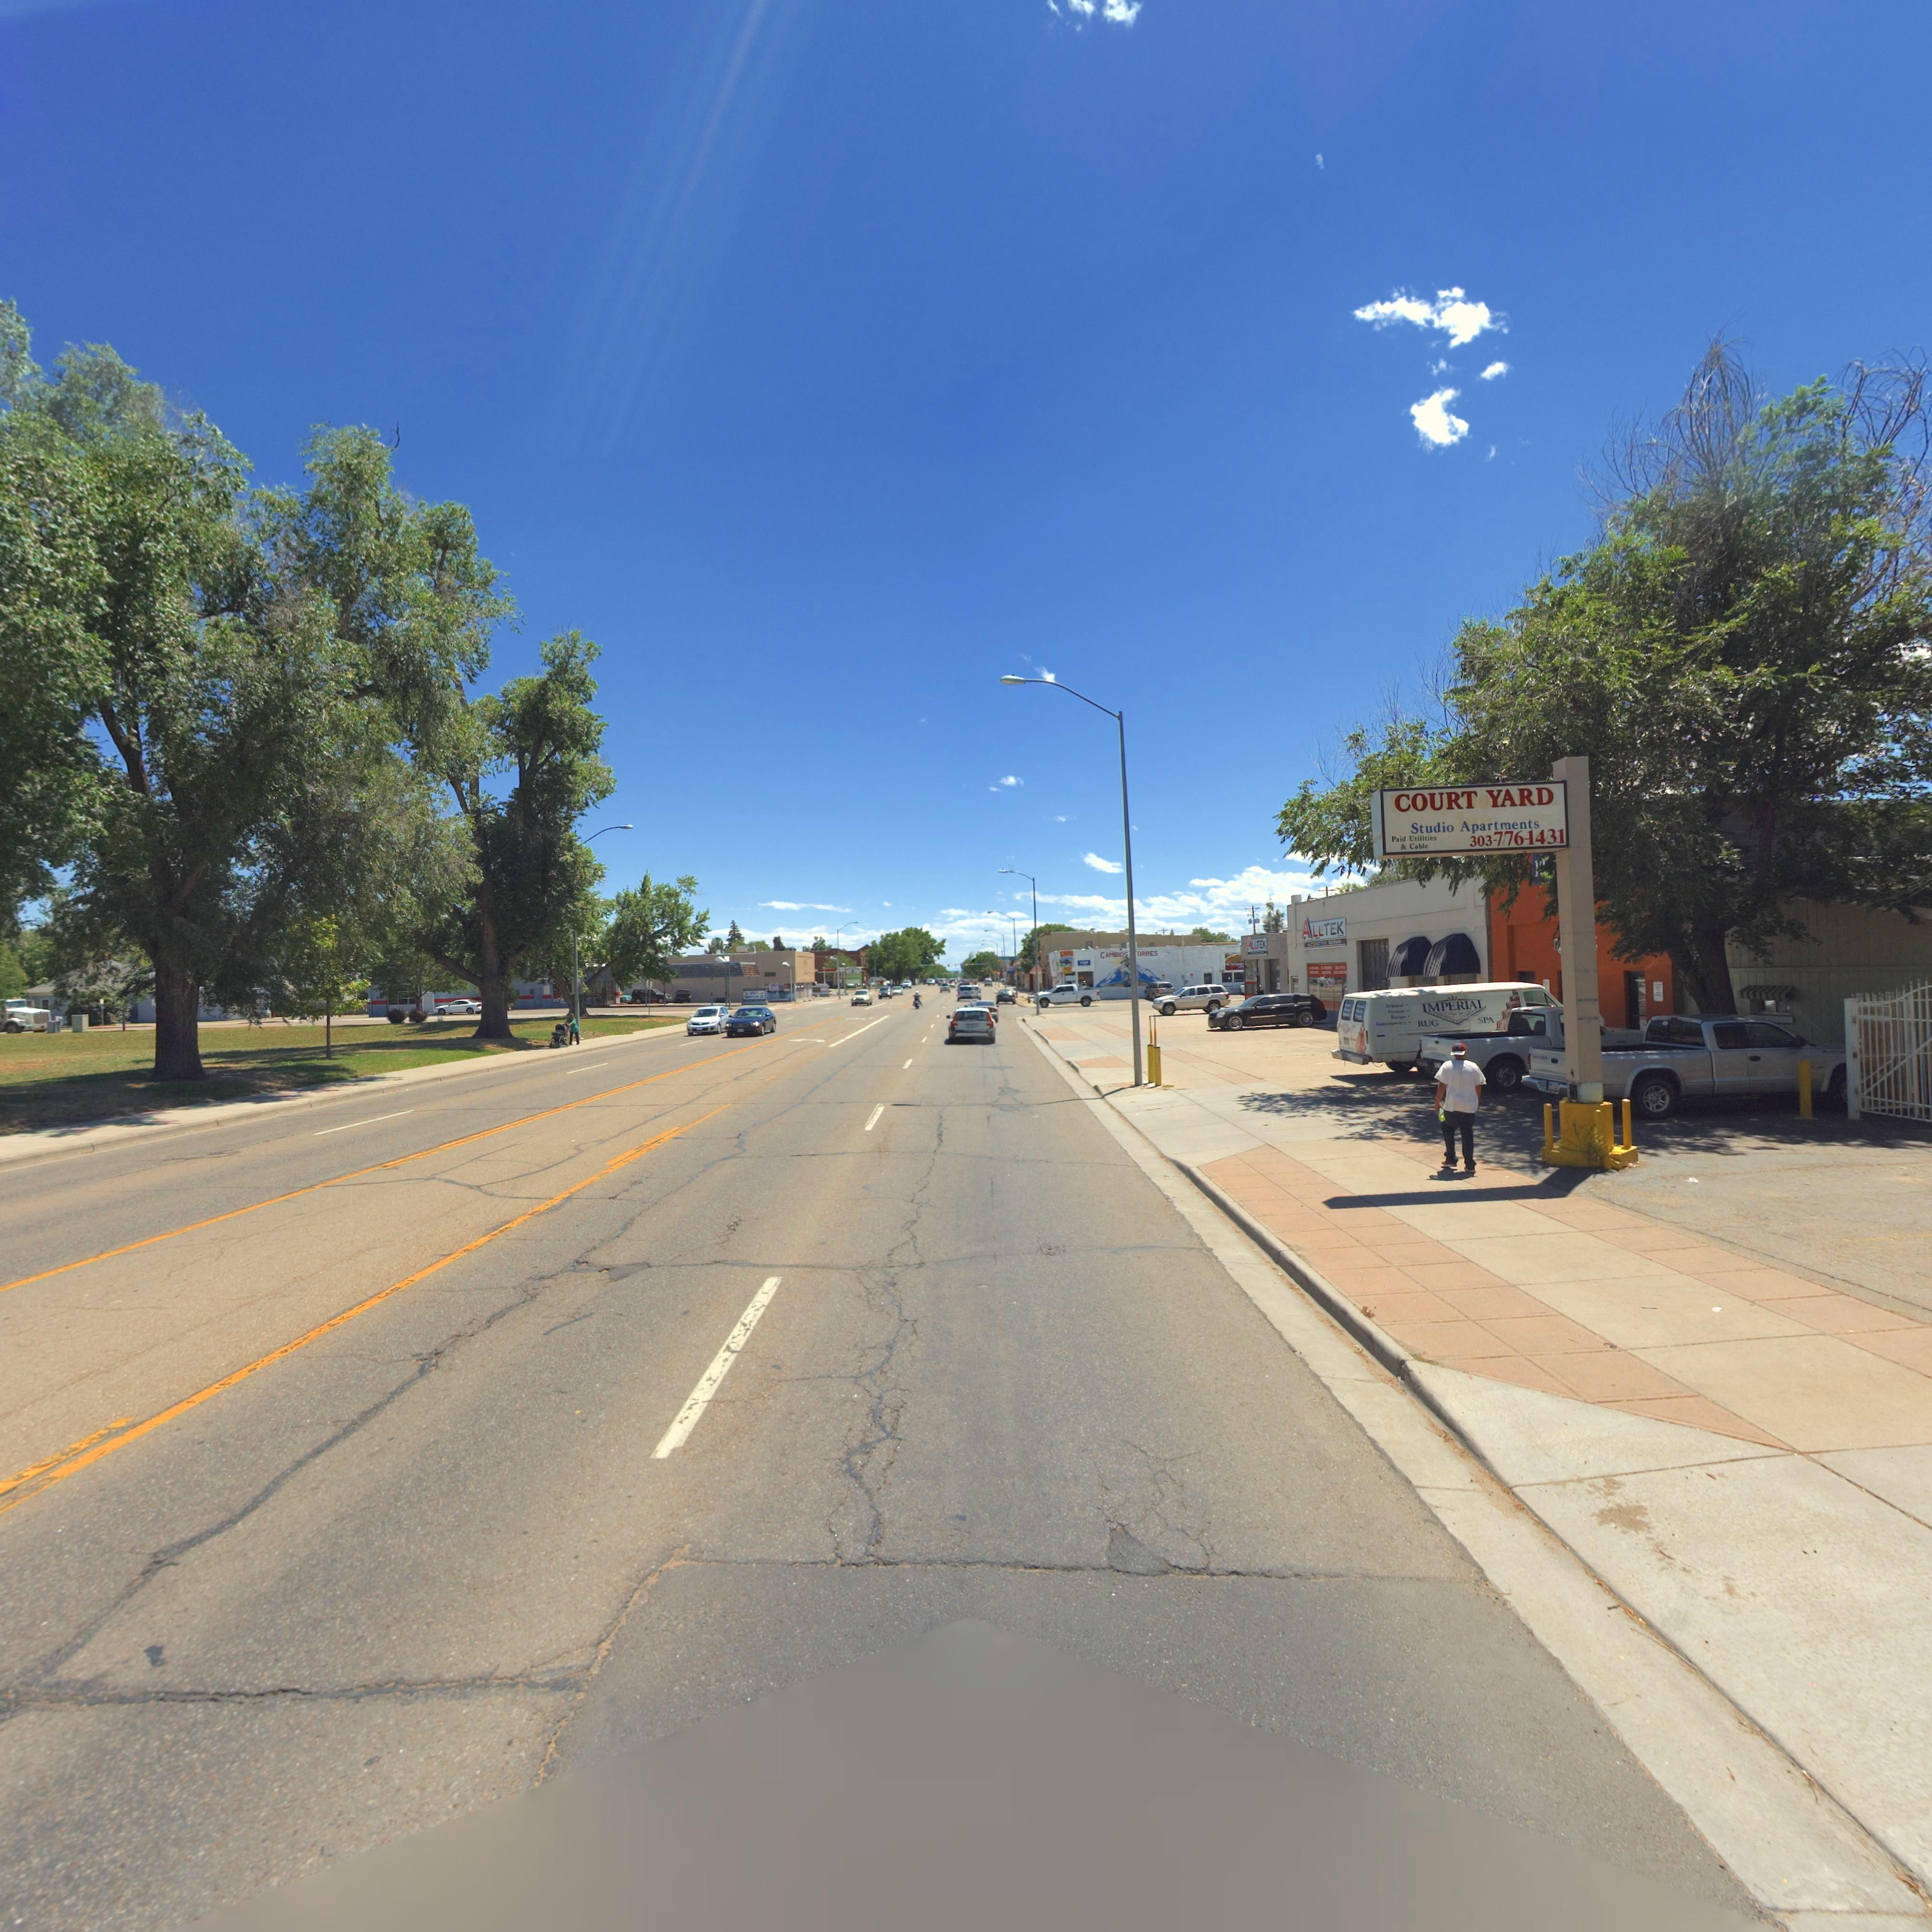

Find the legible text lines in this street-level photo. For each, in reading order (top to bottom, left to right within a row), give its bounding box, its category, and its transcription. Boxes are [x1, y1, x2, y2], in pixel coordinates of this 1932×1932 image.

[1393, 787, 1554, 812] BusinessName: COURT YARD
[1410, 819, 1539, 834] BusinessName: Studio Aparments
[1300, 918, 1344, 940] BusinessName: ALLTEK
[1245, 937, 1266, 950] BusinessName: ALLTEK
[1307, 939, 1341, 946] BusinessName: AUTOMOTIVE REPAIR
[1100, 950, 1158, 958] BusinessName: CAMBIOS *ORRES
[744, 995, 763, 998] BusinessName: MUFFLER CO
[749, 991, 759, 995] BusinessName: KEN'S